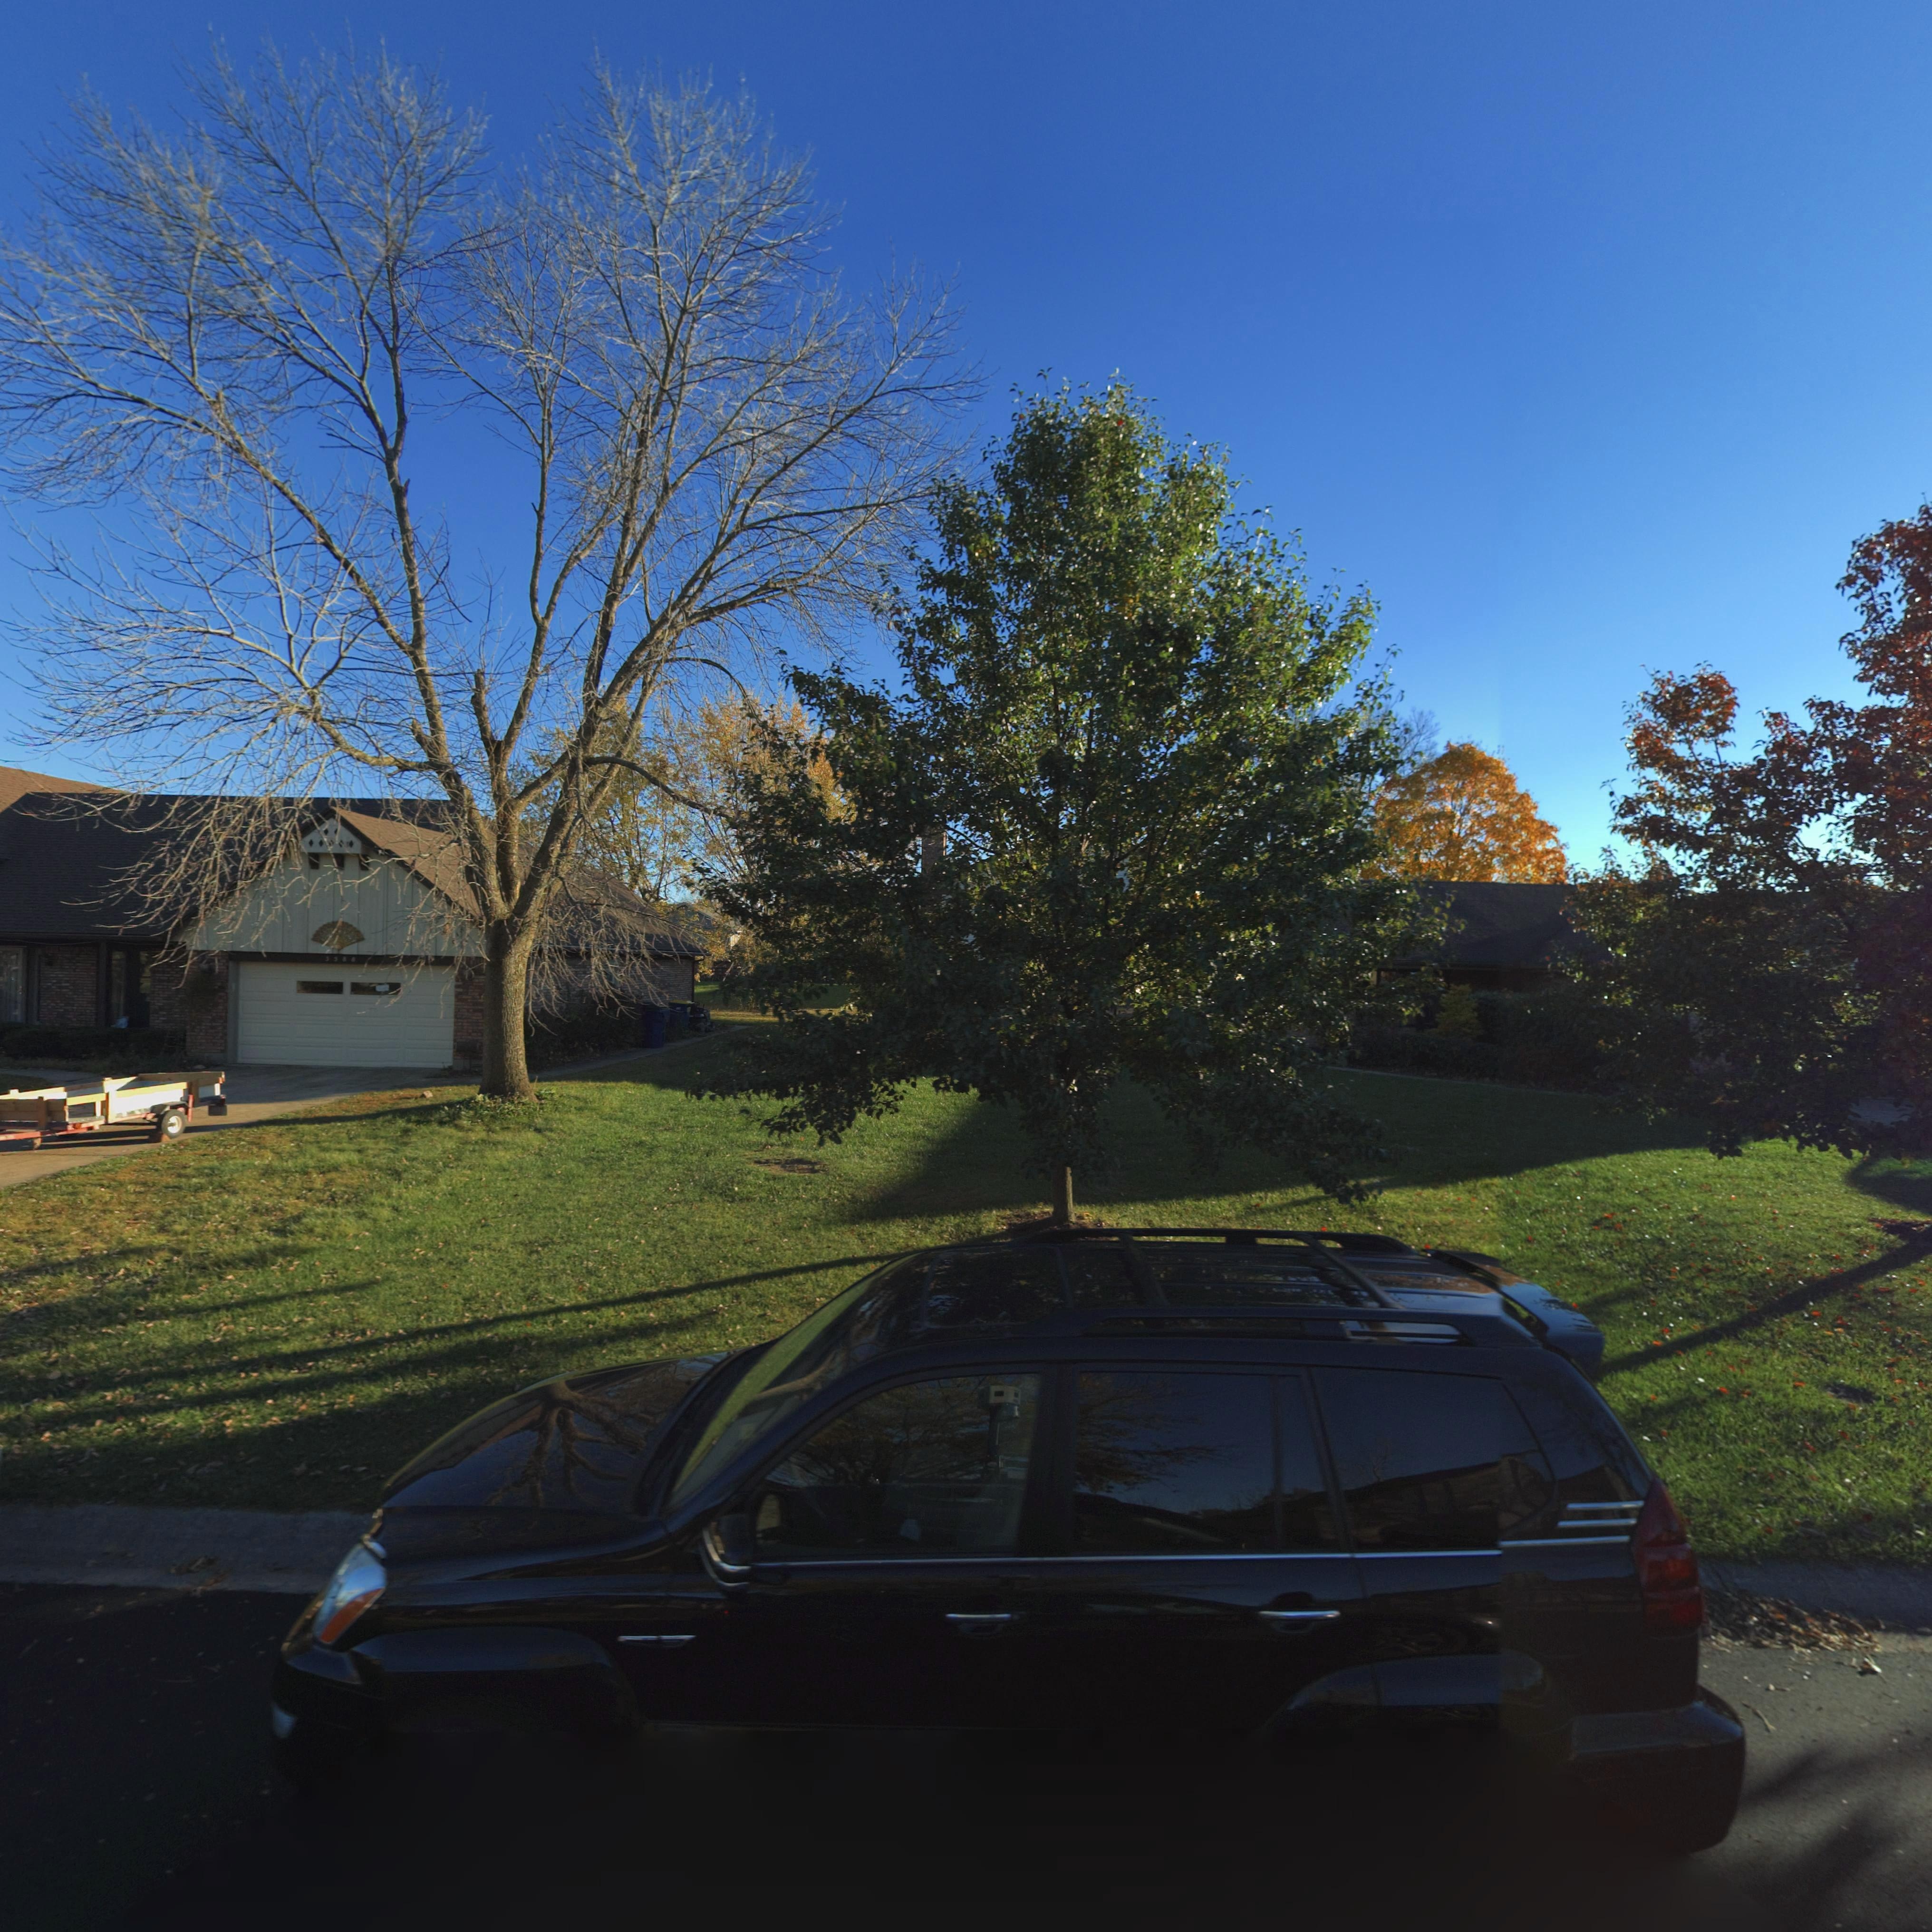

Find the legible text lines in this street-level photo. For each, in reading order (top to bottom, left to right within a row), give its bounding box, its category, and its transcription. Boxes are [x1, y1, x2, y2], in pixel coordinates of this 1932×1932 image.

[324, 955, 357, 963] StreetNumber: 5588